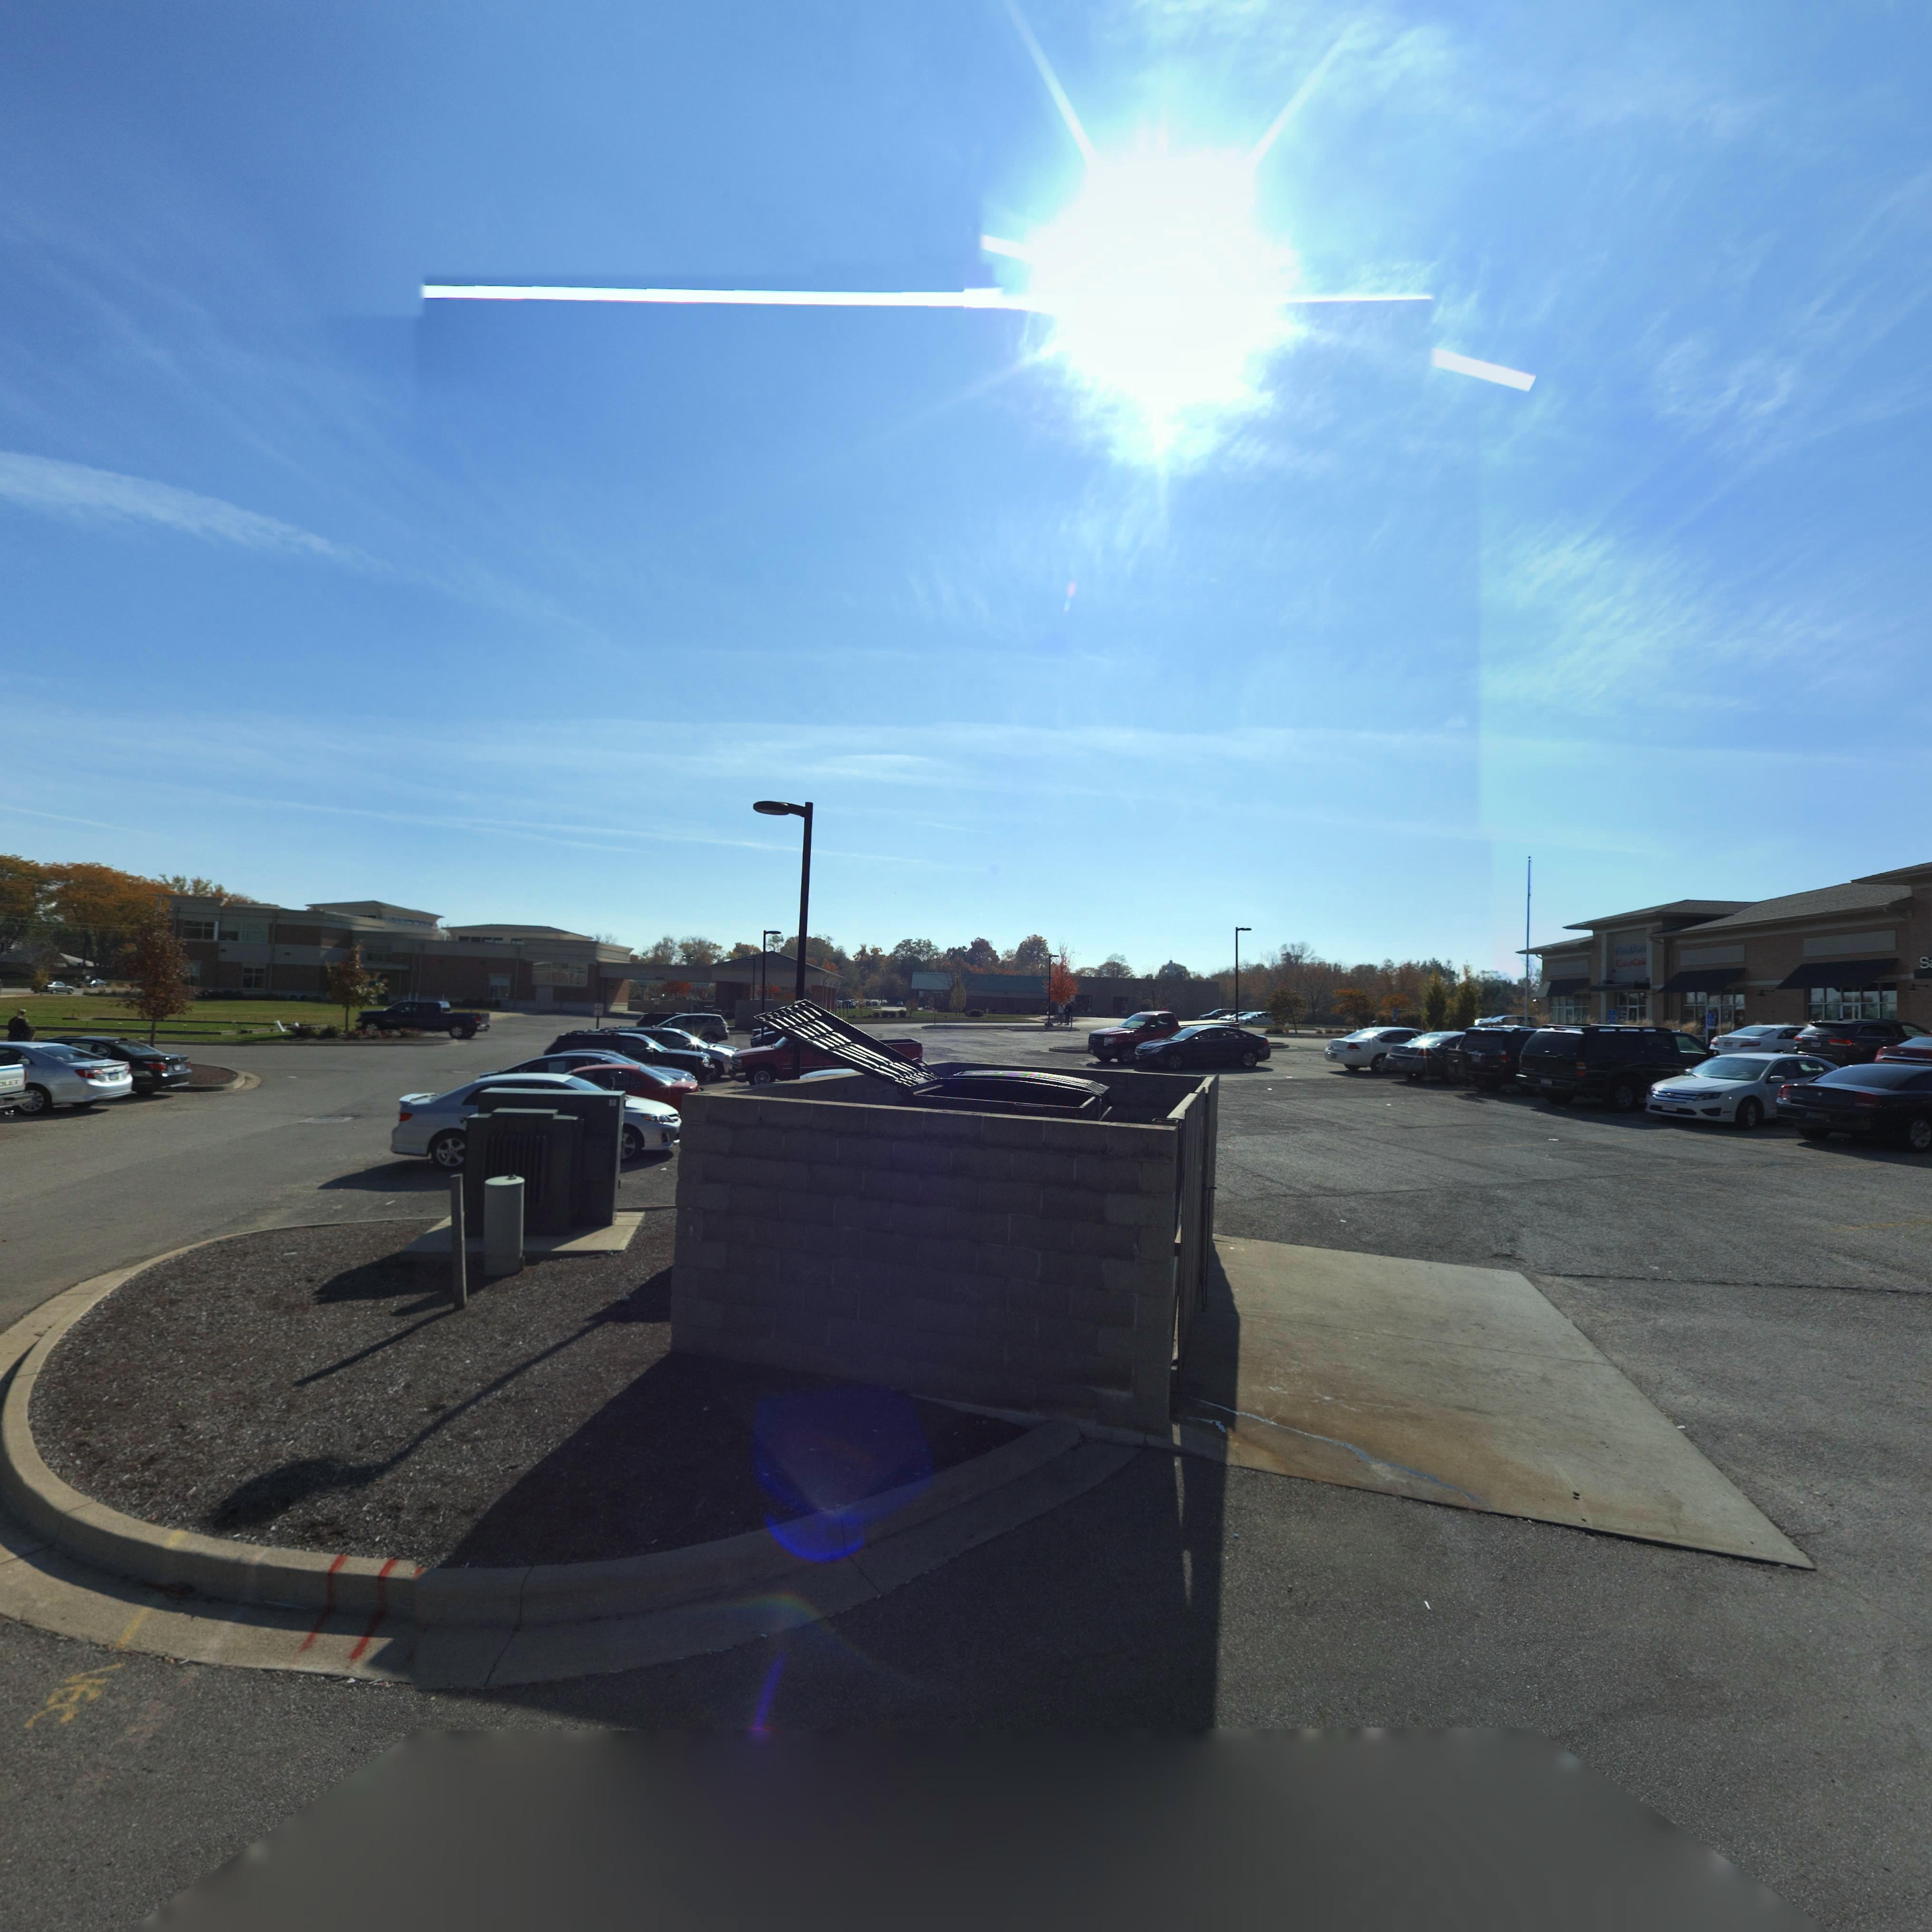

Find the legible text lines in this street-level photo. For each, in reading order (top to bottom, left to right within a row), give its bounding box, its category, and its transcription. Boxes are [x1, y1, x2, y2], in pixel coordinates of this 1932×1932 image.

[1919, 956, 1931, 969] BusinessName: S